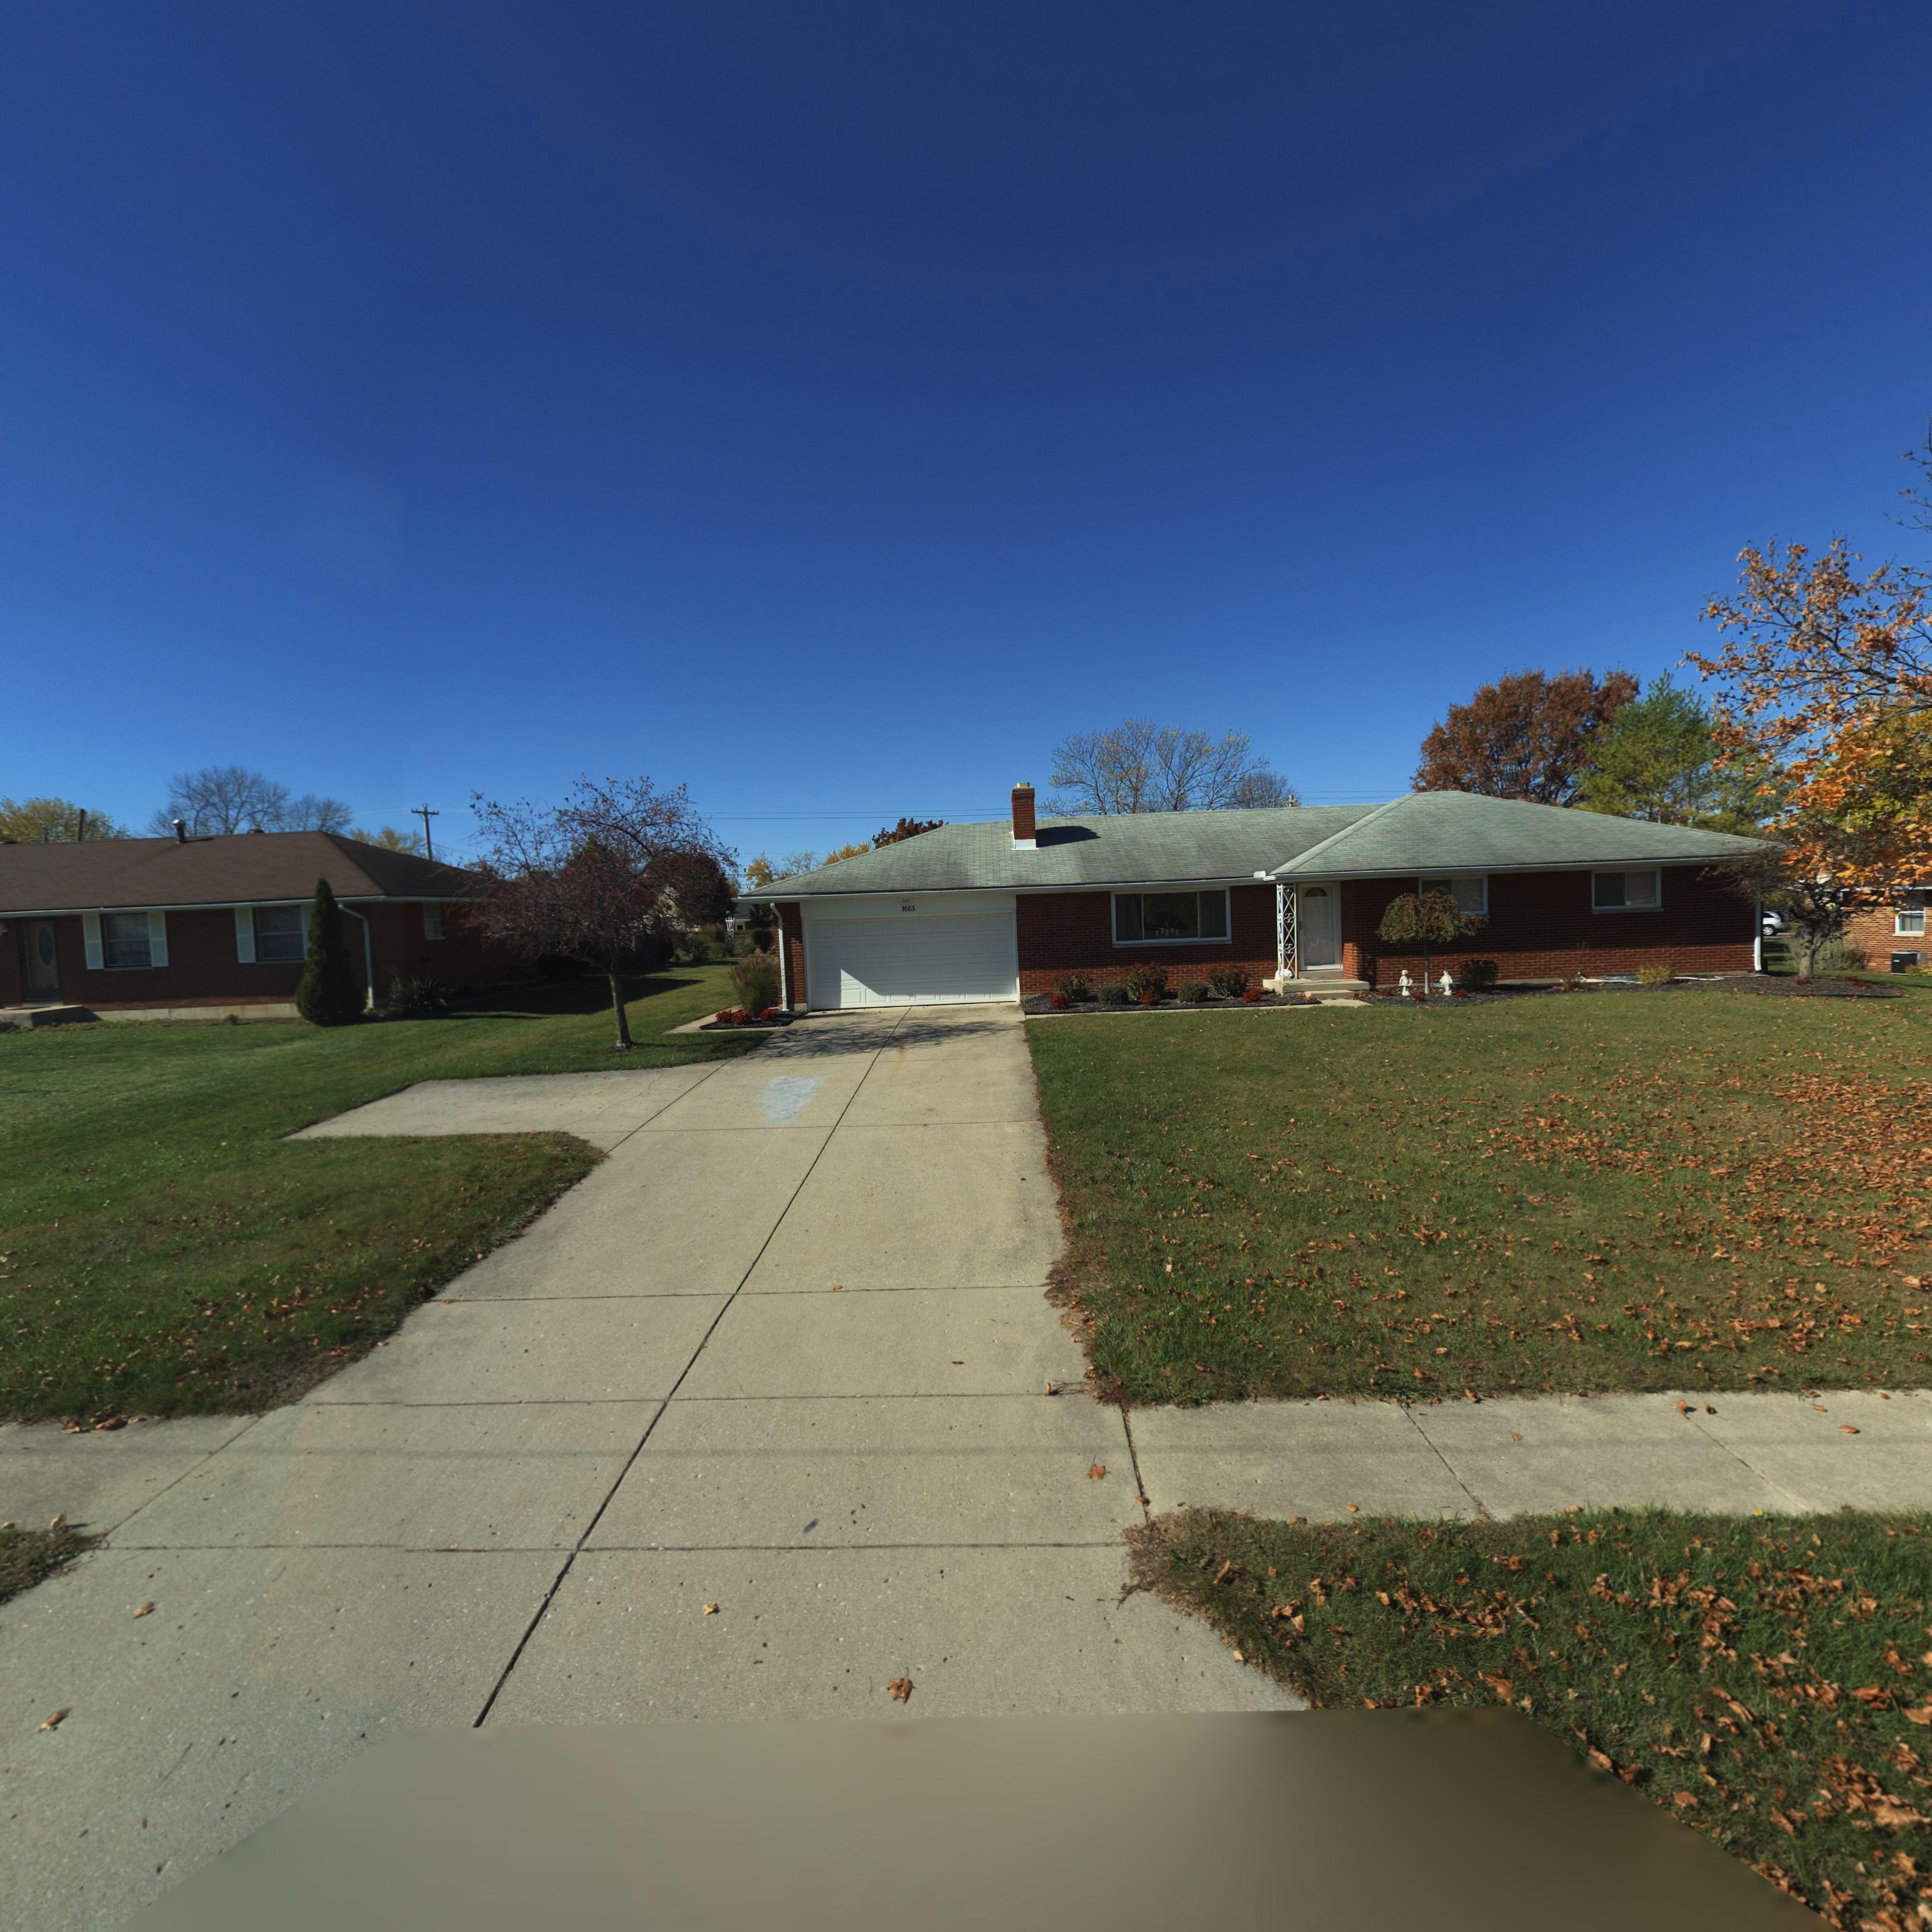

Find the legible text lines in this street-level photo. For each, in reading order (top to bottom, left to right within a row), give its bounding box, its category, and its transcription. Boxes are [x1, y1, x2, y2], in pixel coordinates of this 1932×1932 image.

[901, 904, 916, 913] StreetNumber: 1005